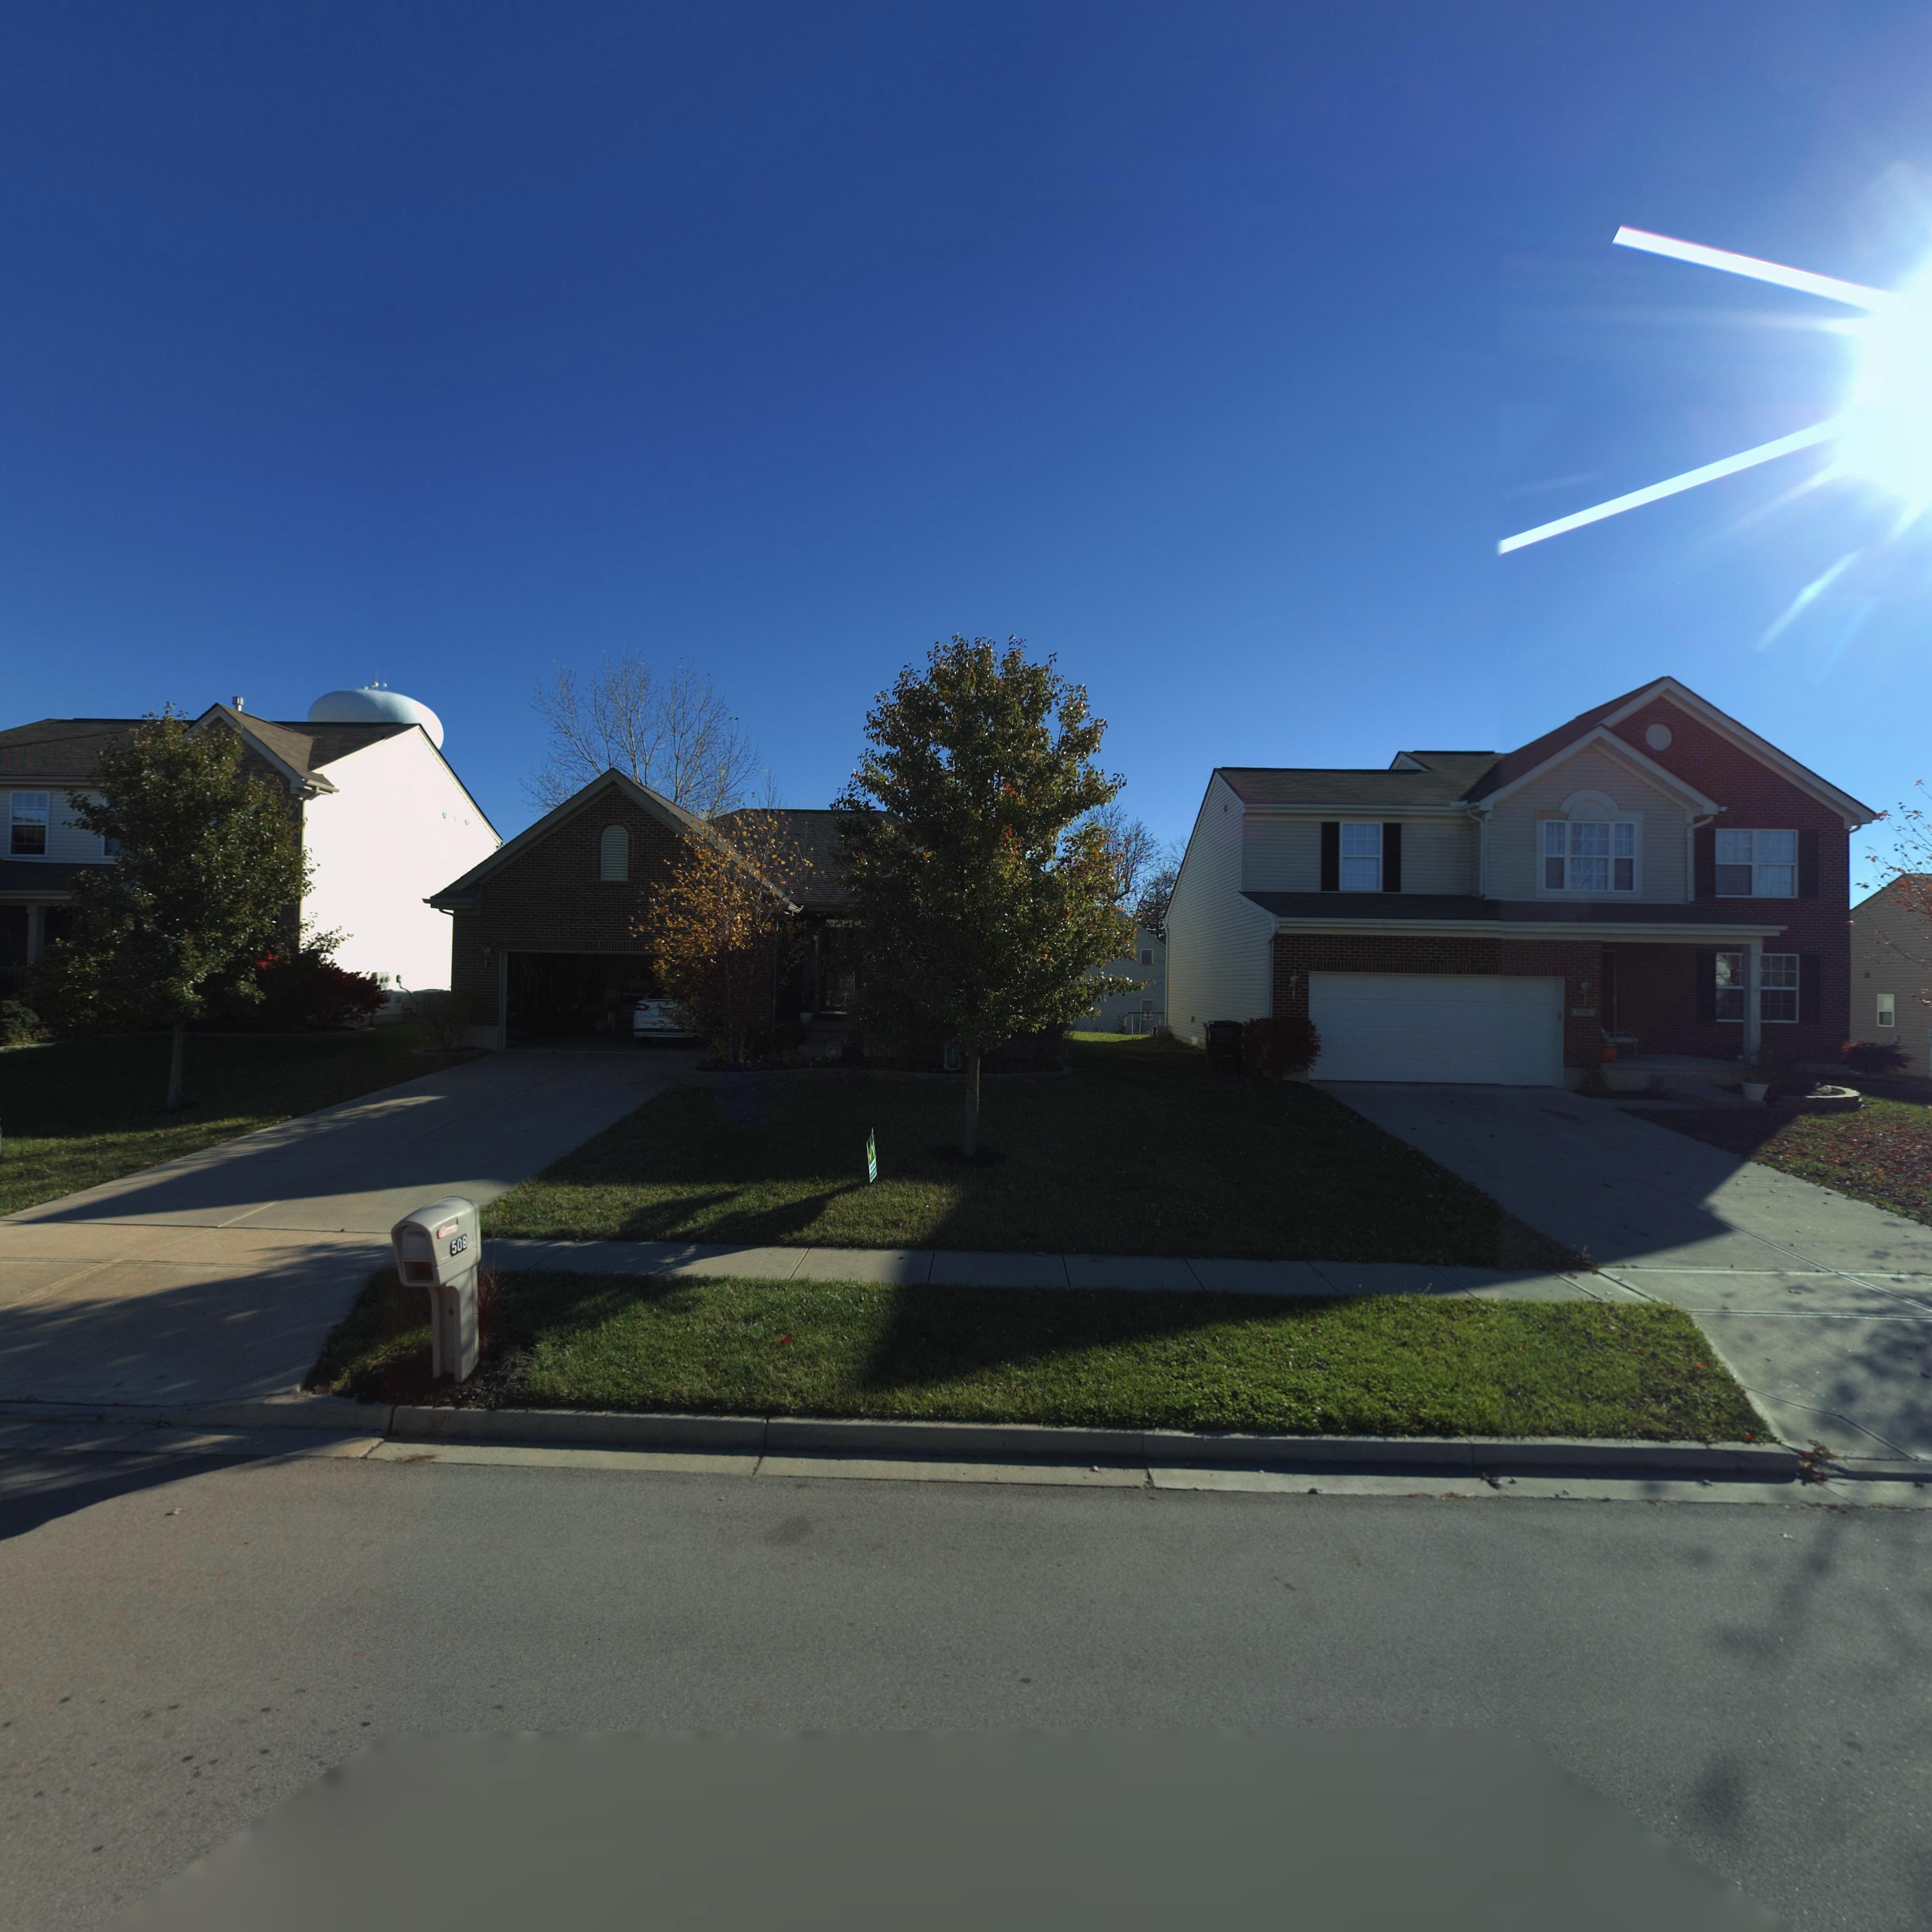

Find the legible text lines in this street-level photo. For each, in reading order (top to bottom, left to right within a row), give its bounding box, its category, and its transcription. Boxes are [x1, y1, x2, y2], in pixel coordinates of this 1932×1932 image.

[1574, 1008, 1593, 1017] StreetNumber: *06
[451, 1235, 468, 1256] StreetNumber: 508